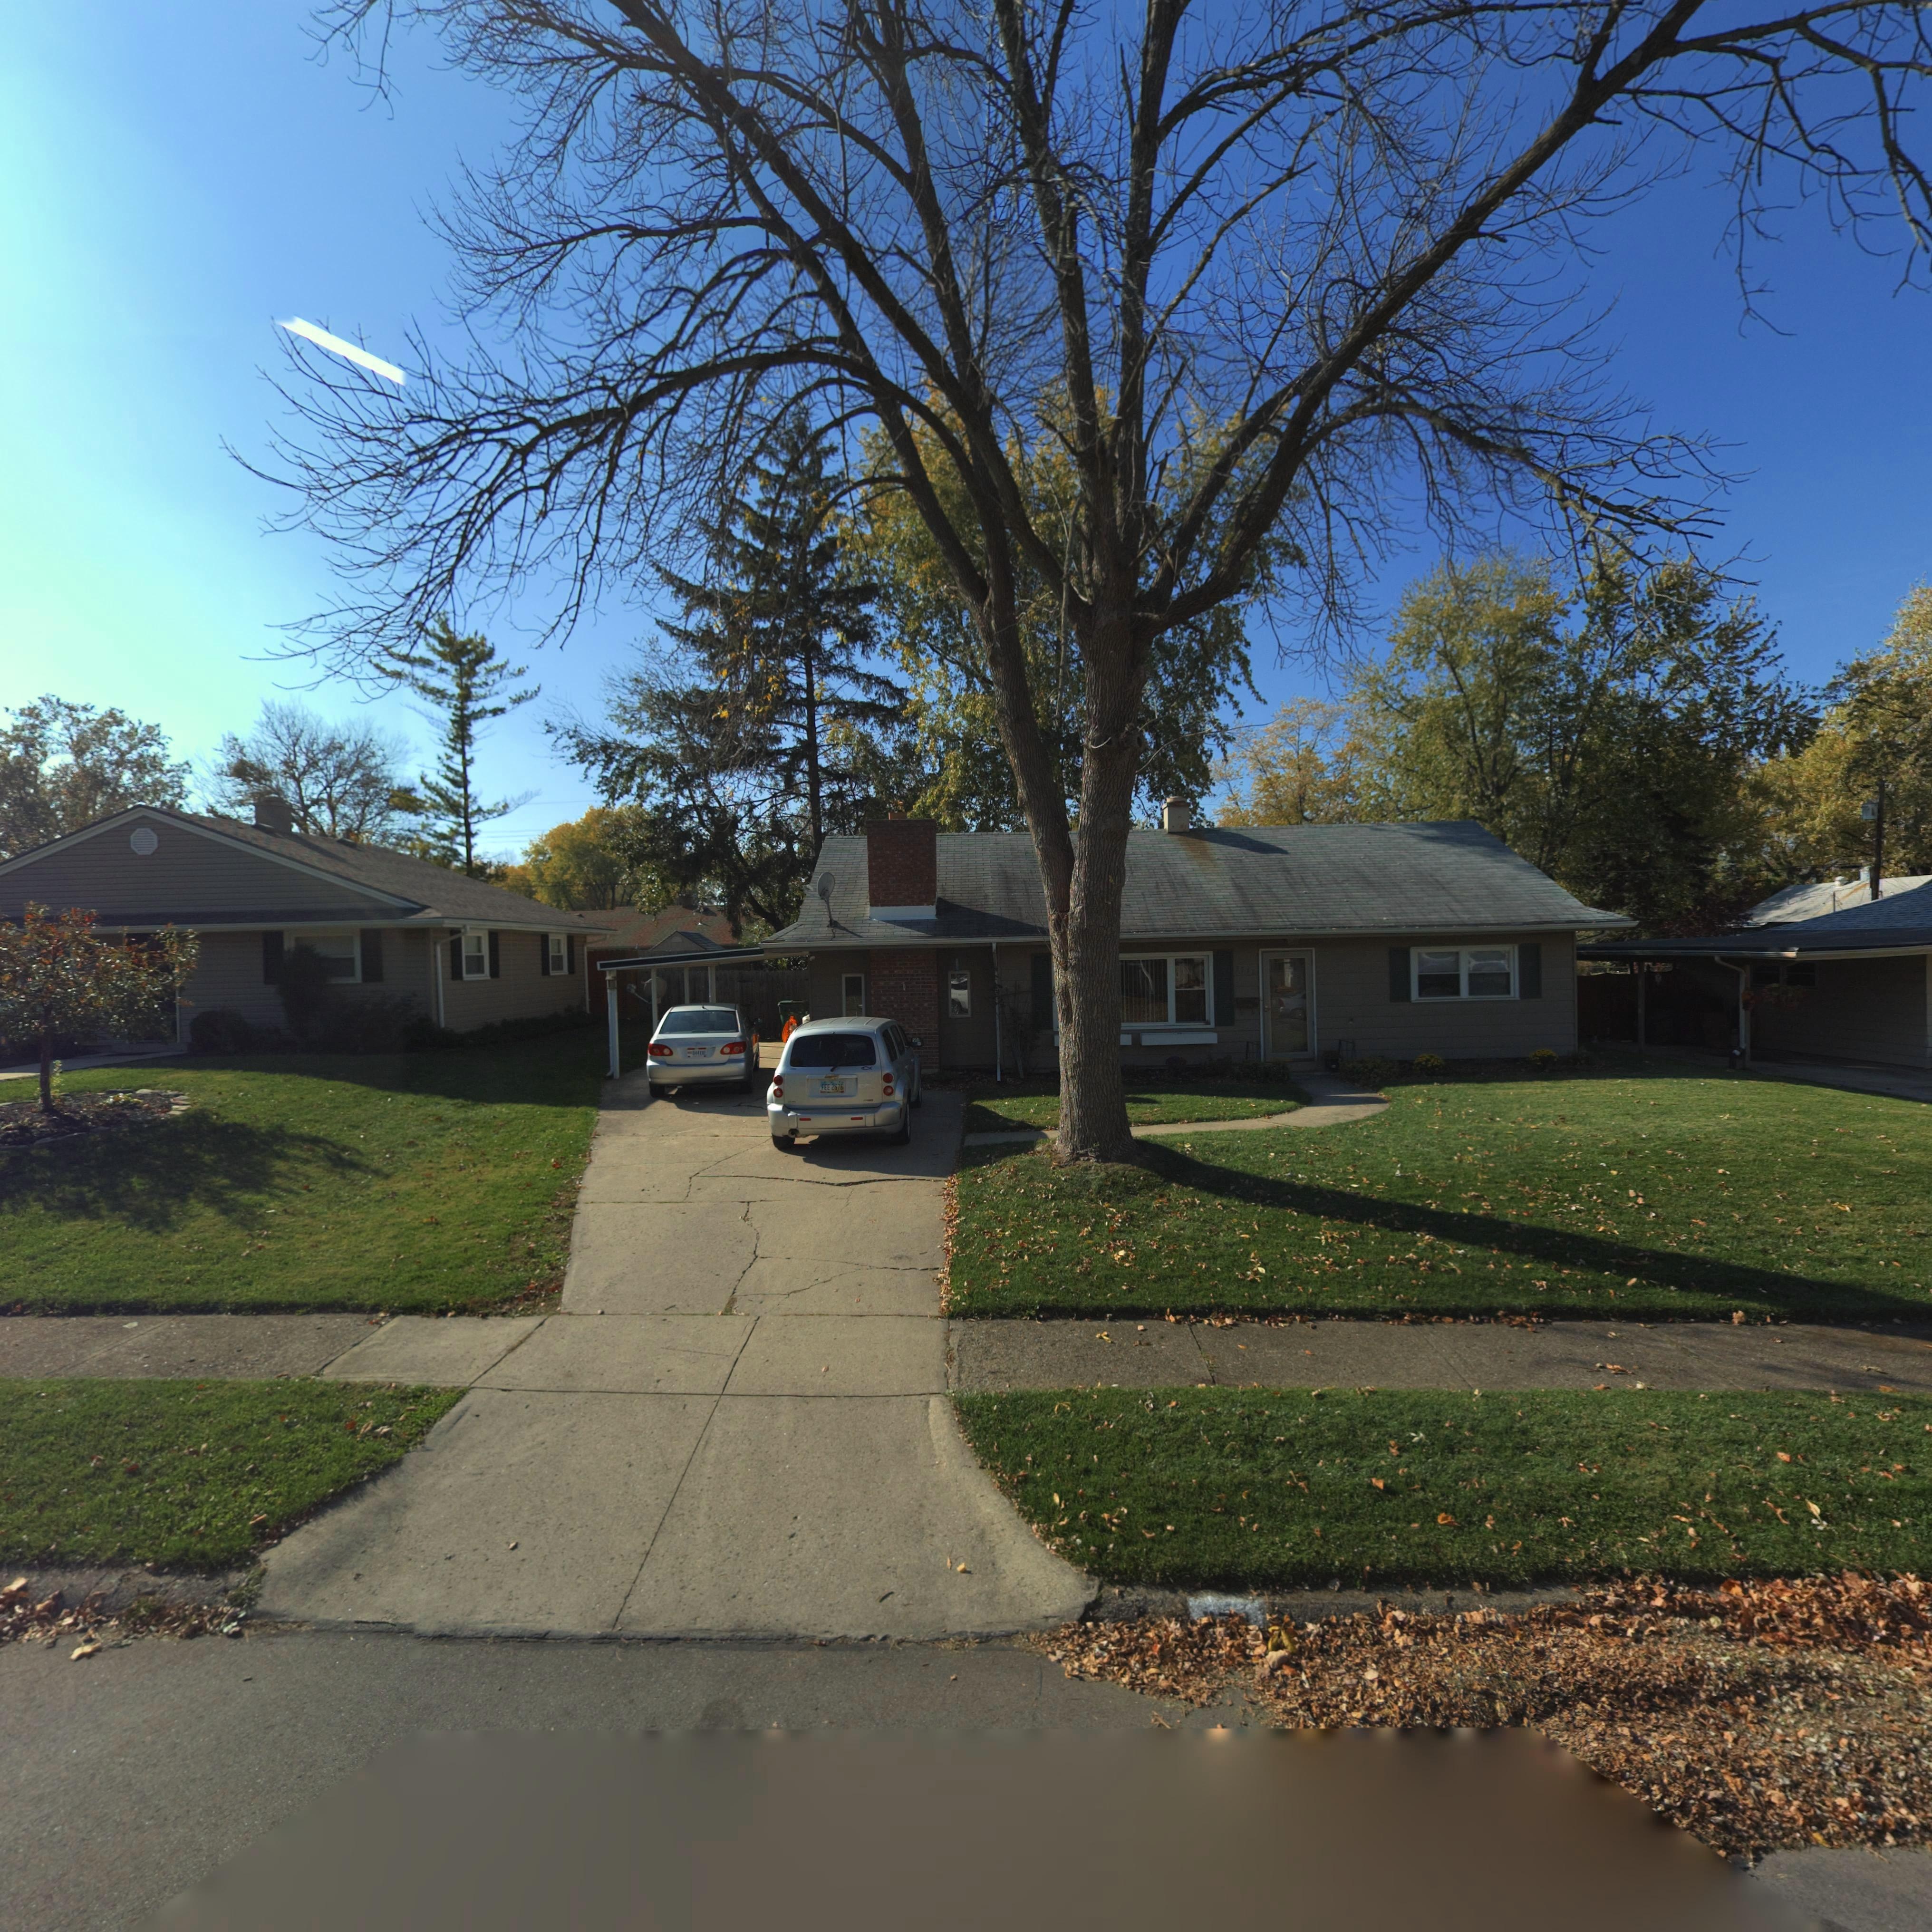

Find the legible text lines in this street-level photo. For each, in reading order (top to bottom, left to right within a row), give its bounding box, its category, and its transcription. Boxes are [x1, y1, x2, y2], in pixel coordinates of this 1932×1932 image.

[1235, 965, 1257, 976] StreetNumber: 371*
[692, 1050, 700, 1056] None: 844
[821, 1083, 843, 1091] None: FEE*2676